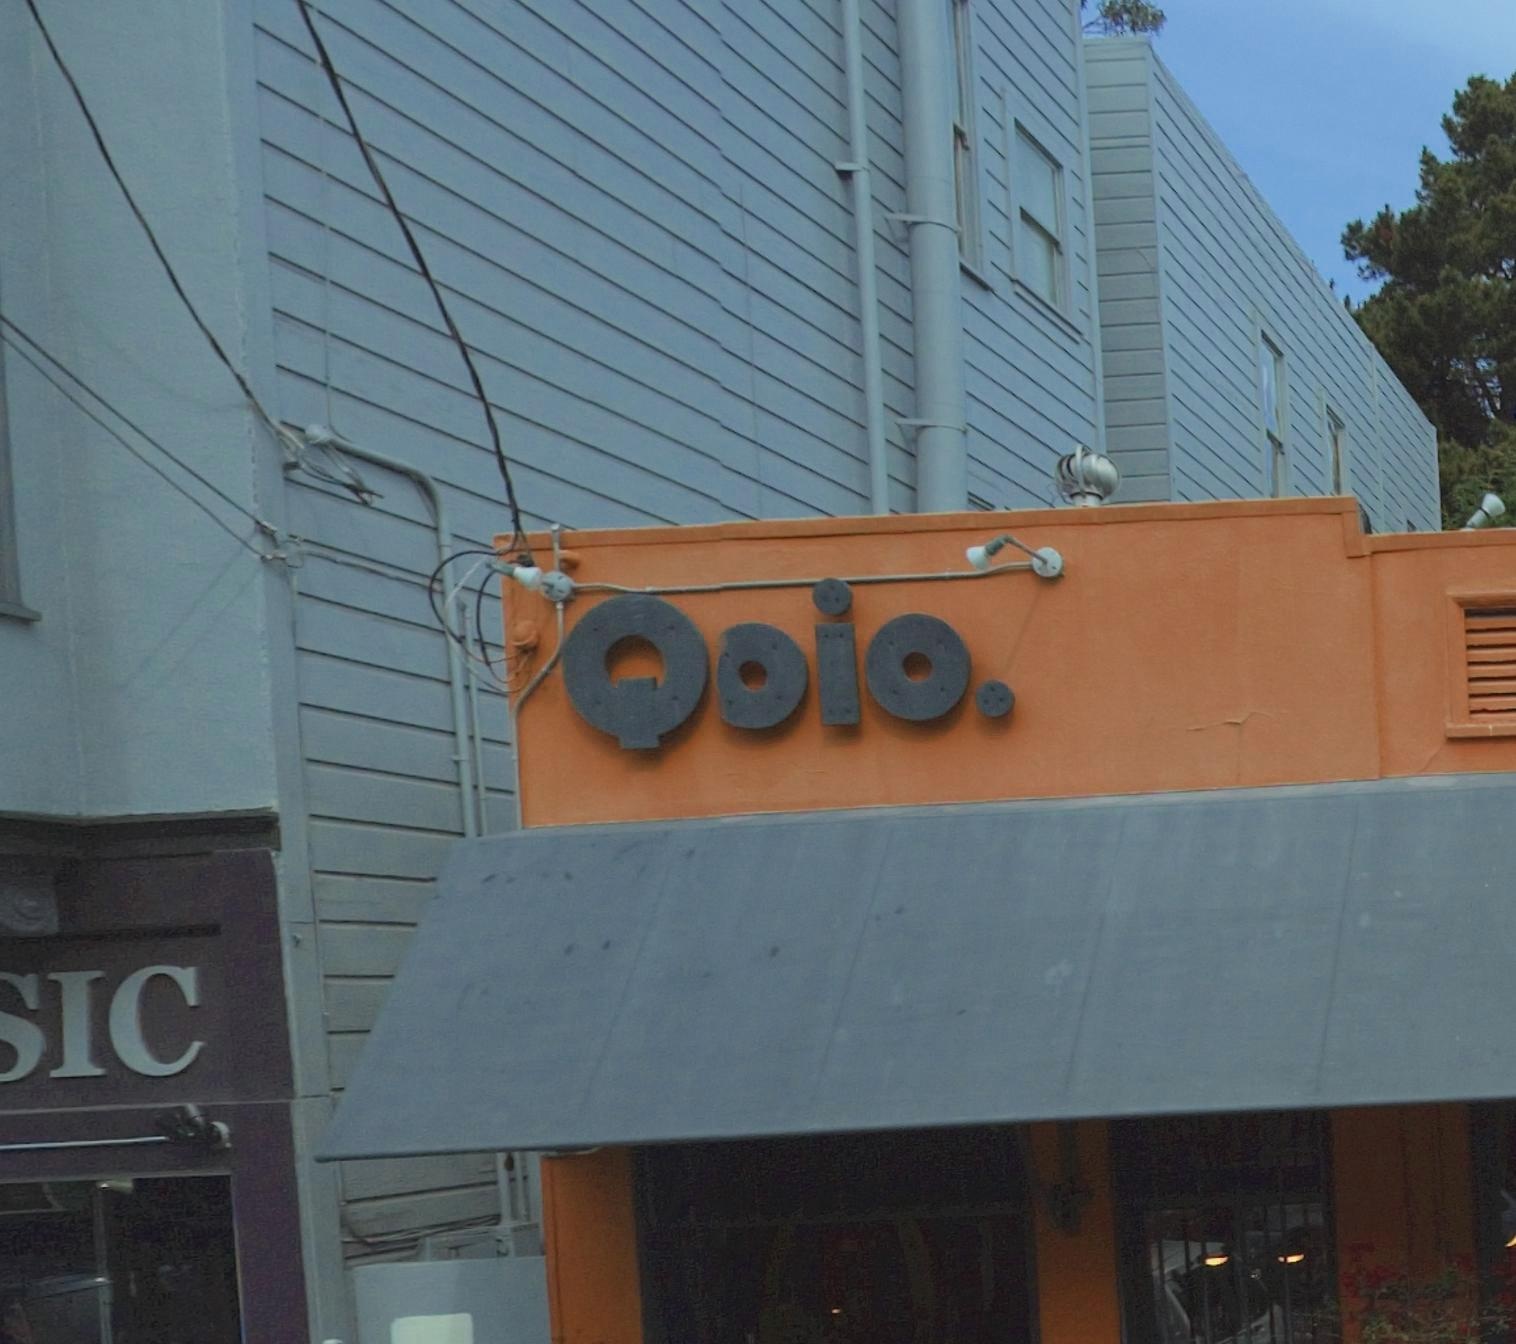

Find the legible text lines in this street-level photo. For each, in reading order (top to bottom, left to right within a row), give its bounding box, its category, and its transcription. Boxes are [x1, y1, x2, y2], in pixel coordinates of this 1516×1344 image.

[555, 574, 1022, 755] BusinessName: Qoio.
[43, 960, 211, 1085] None: IC